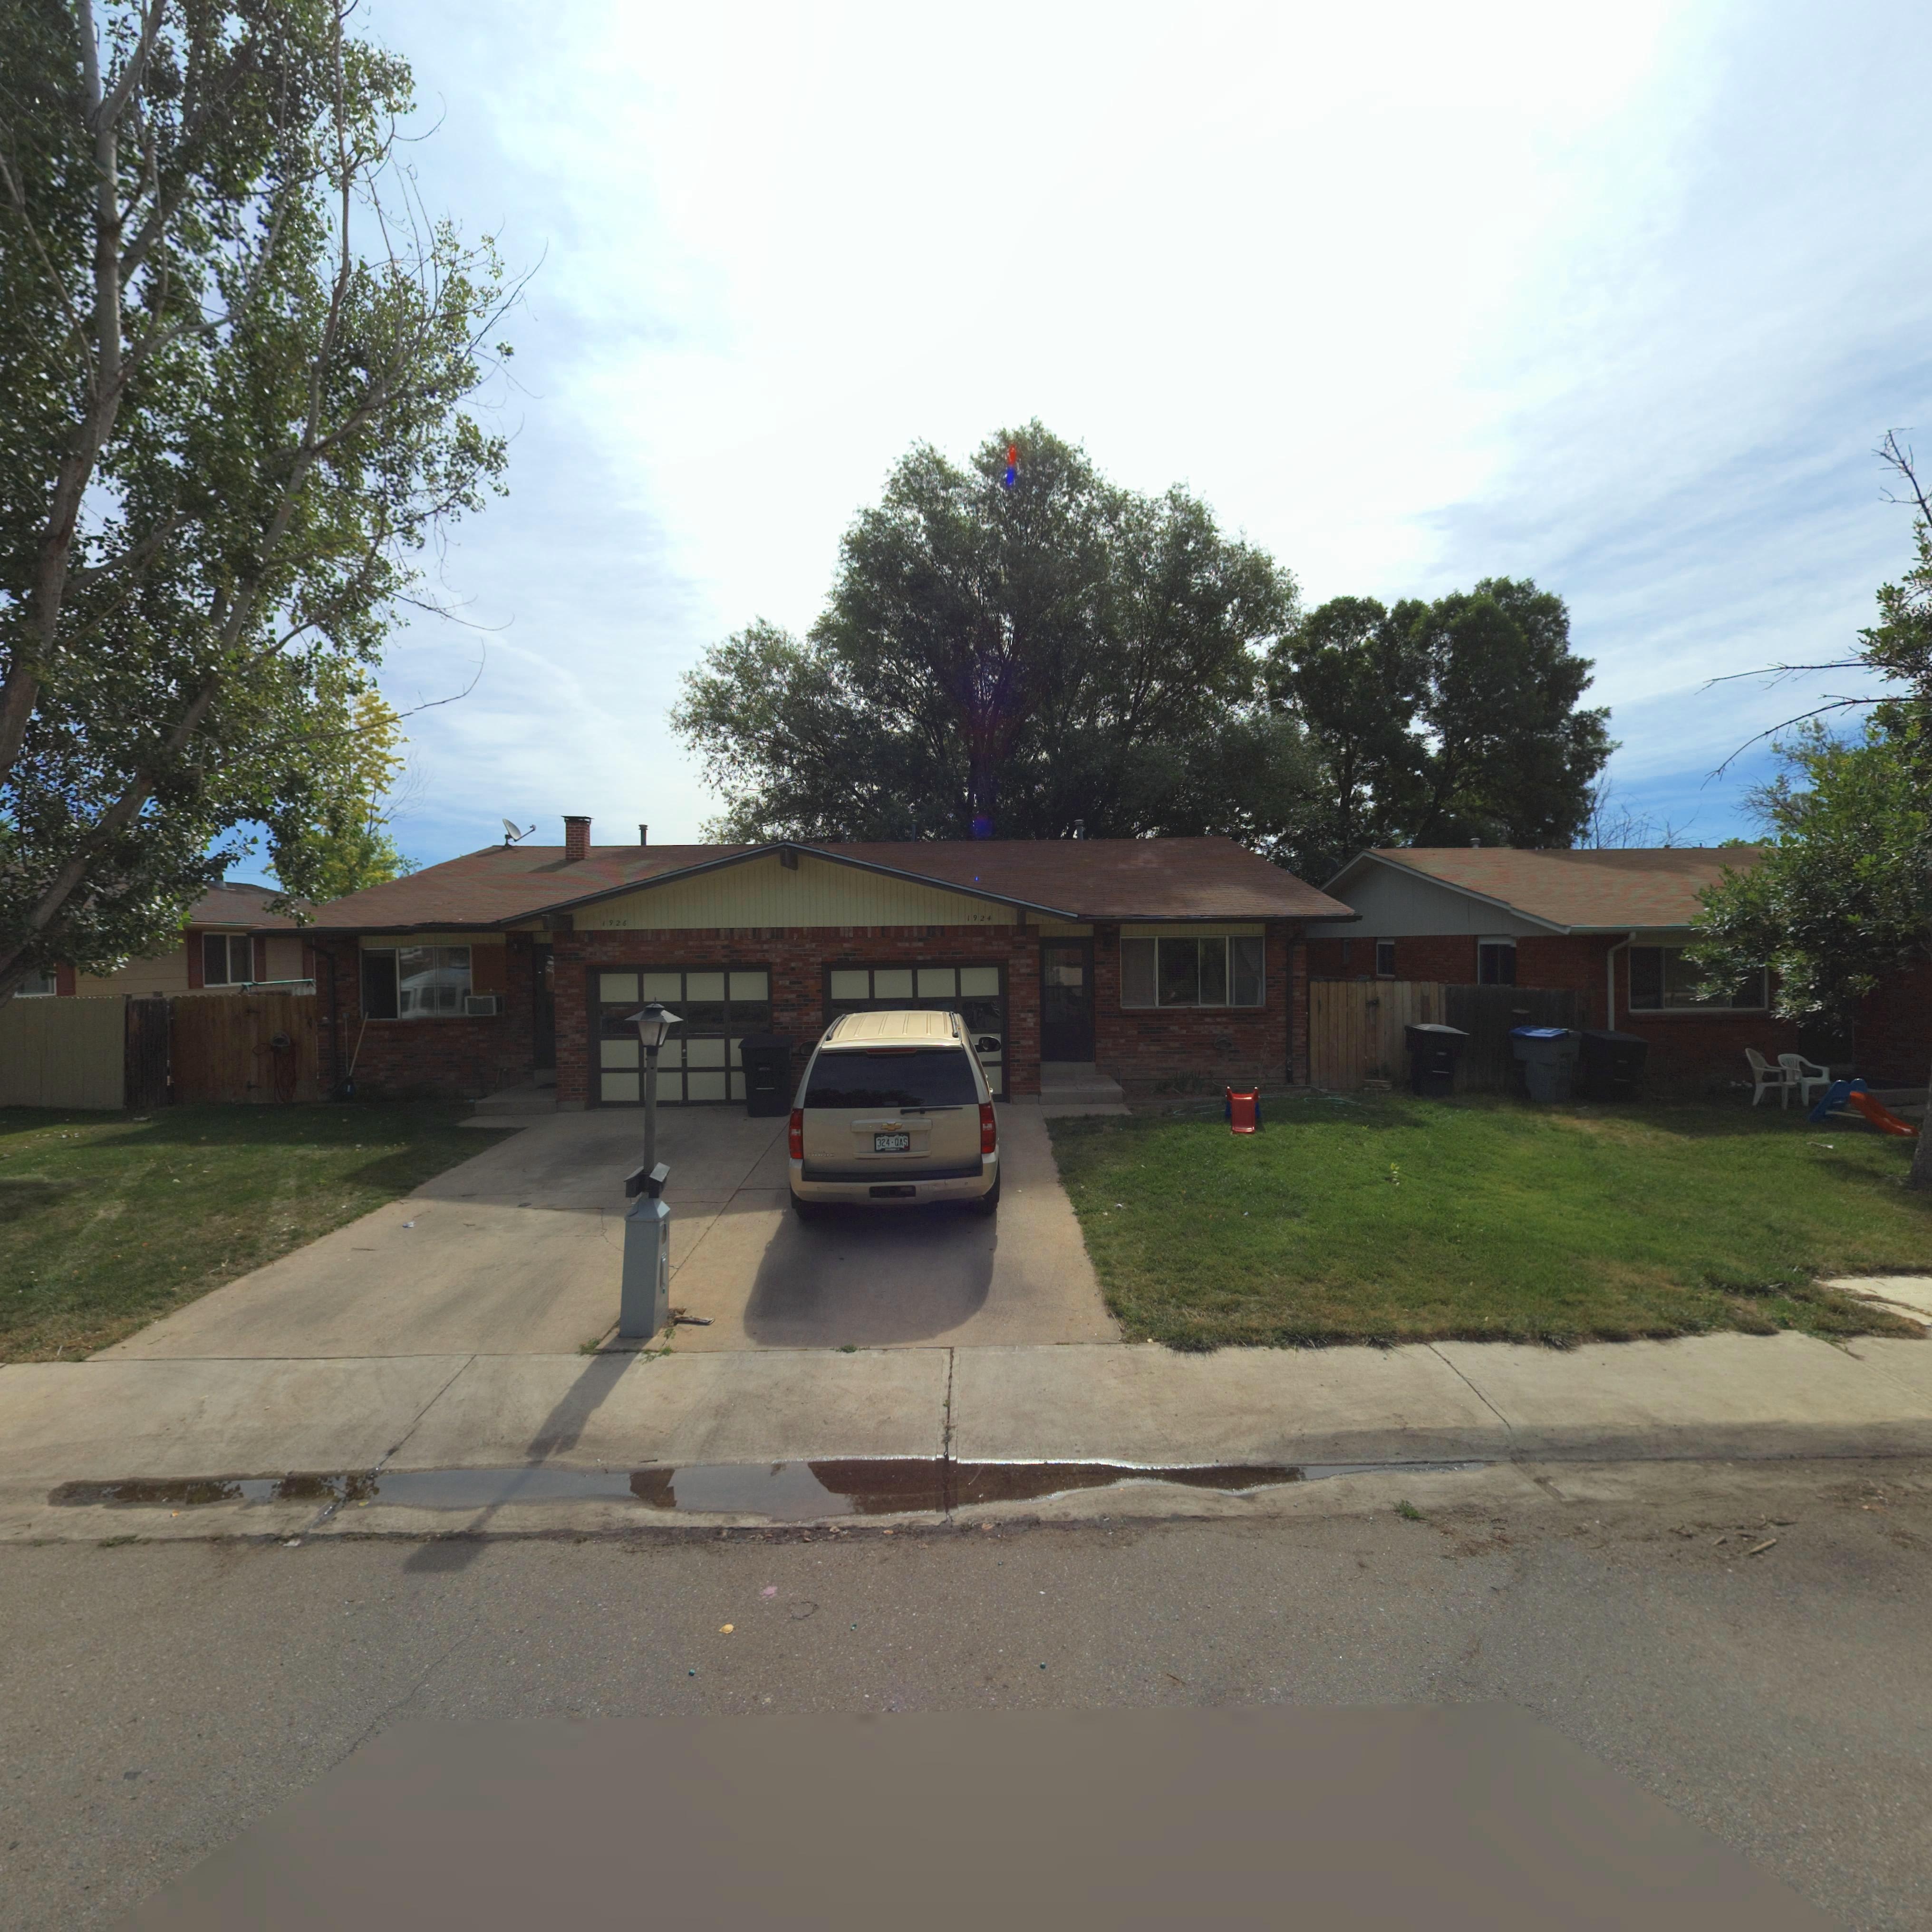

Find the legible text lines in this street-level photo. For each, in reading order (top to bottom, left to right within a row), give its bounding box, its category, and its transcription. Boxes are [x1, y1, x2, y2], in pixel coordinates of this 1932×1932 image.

[966, 914, 991, 922] StreetNumber: 1924
[601, 919, 628, 926] StreetNumber: 1926